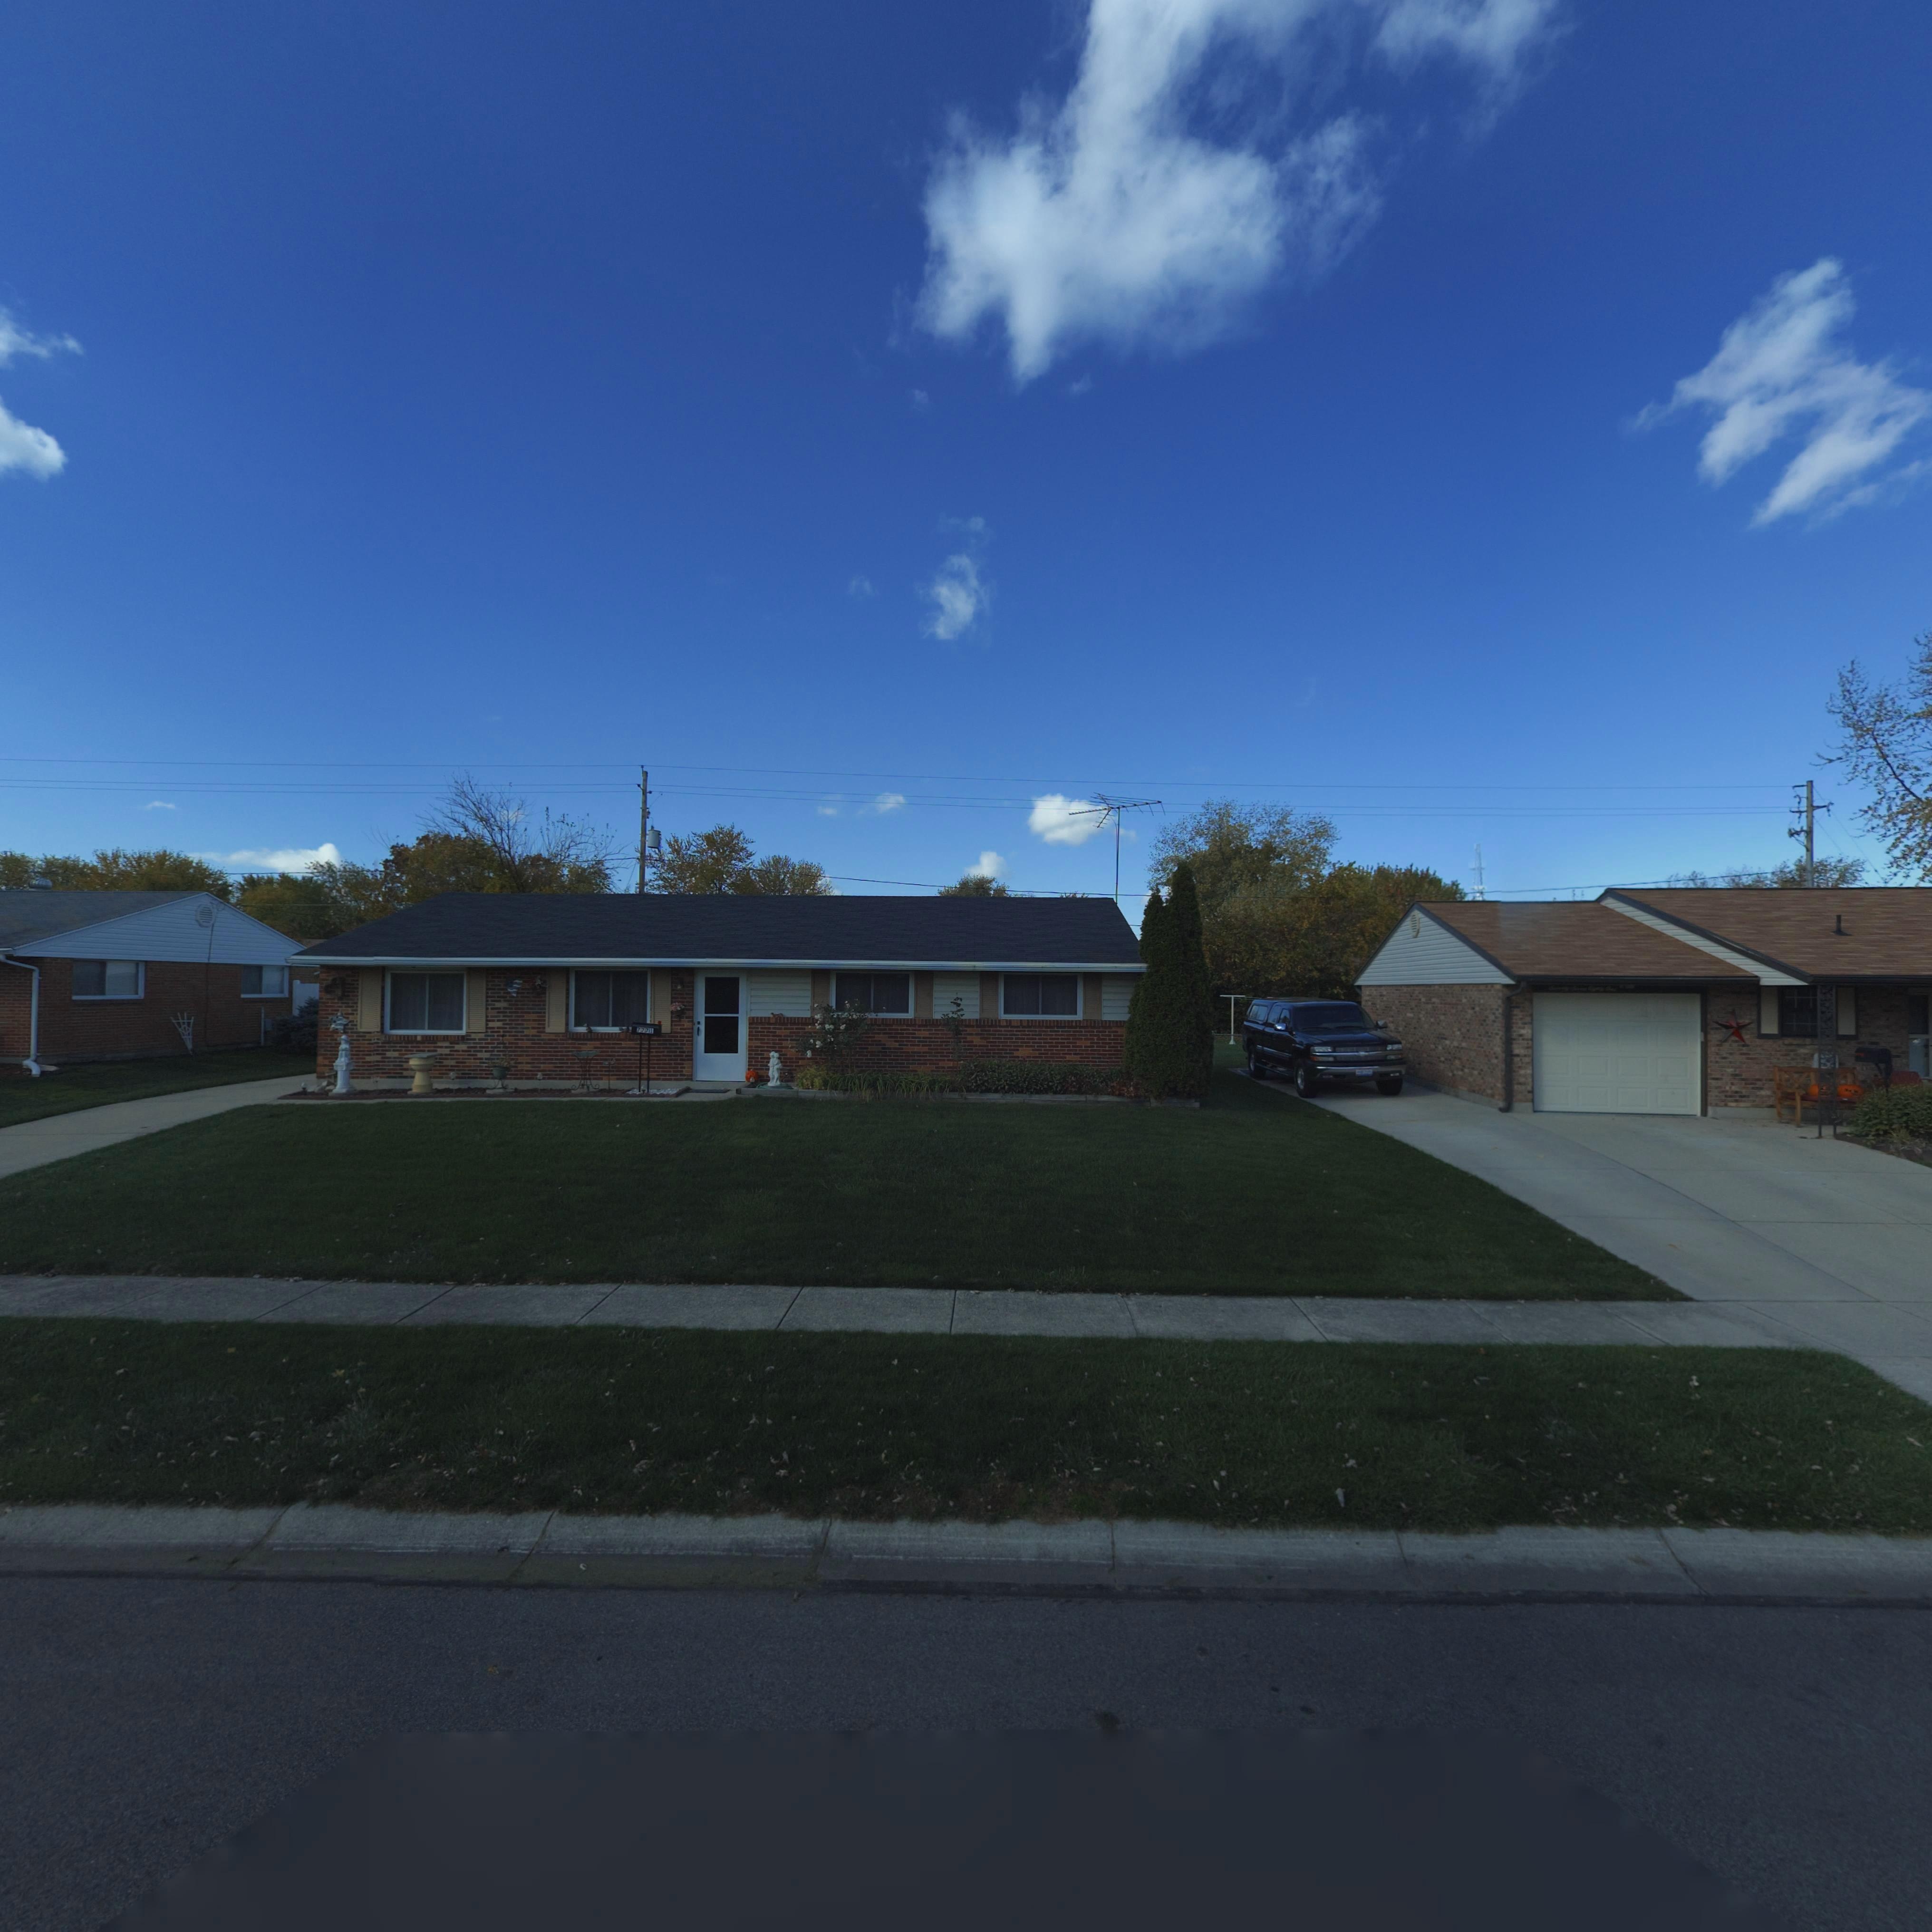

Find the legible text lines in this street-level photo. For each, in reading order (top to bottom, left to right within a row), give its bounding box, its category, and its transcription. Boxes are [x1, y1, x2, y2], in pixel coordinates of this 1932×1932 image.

[636, 1026, 653, 1034] StreetNumber: **71